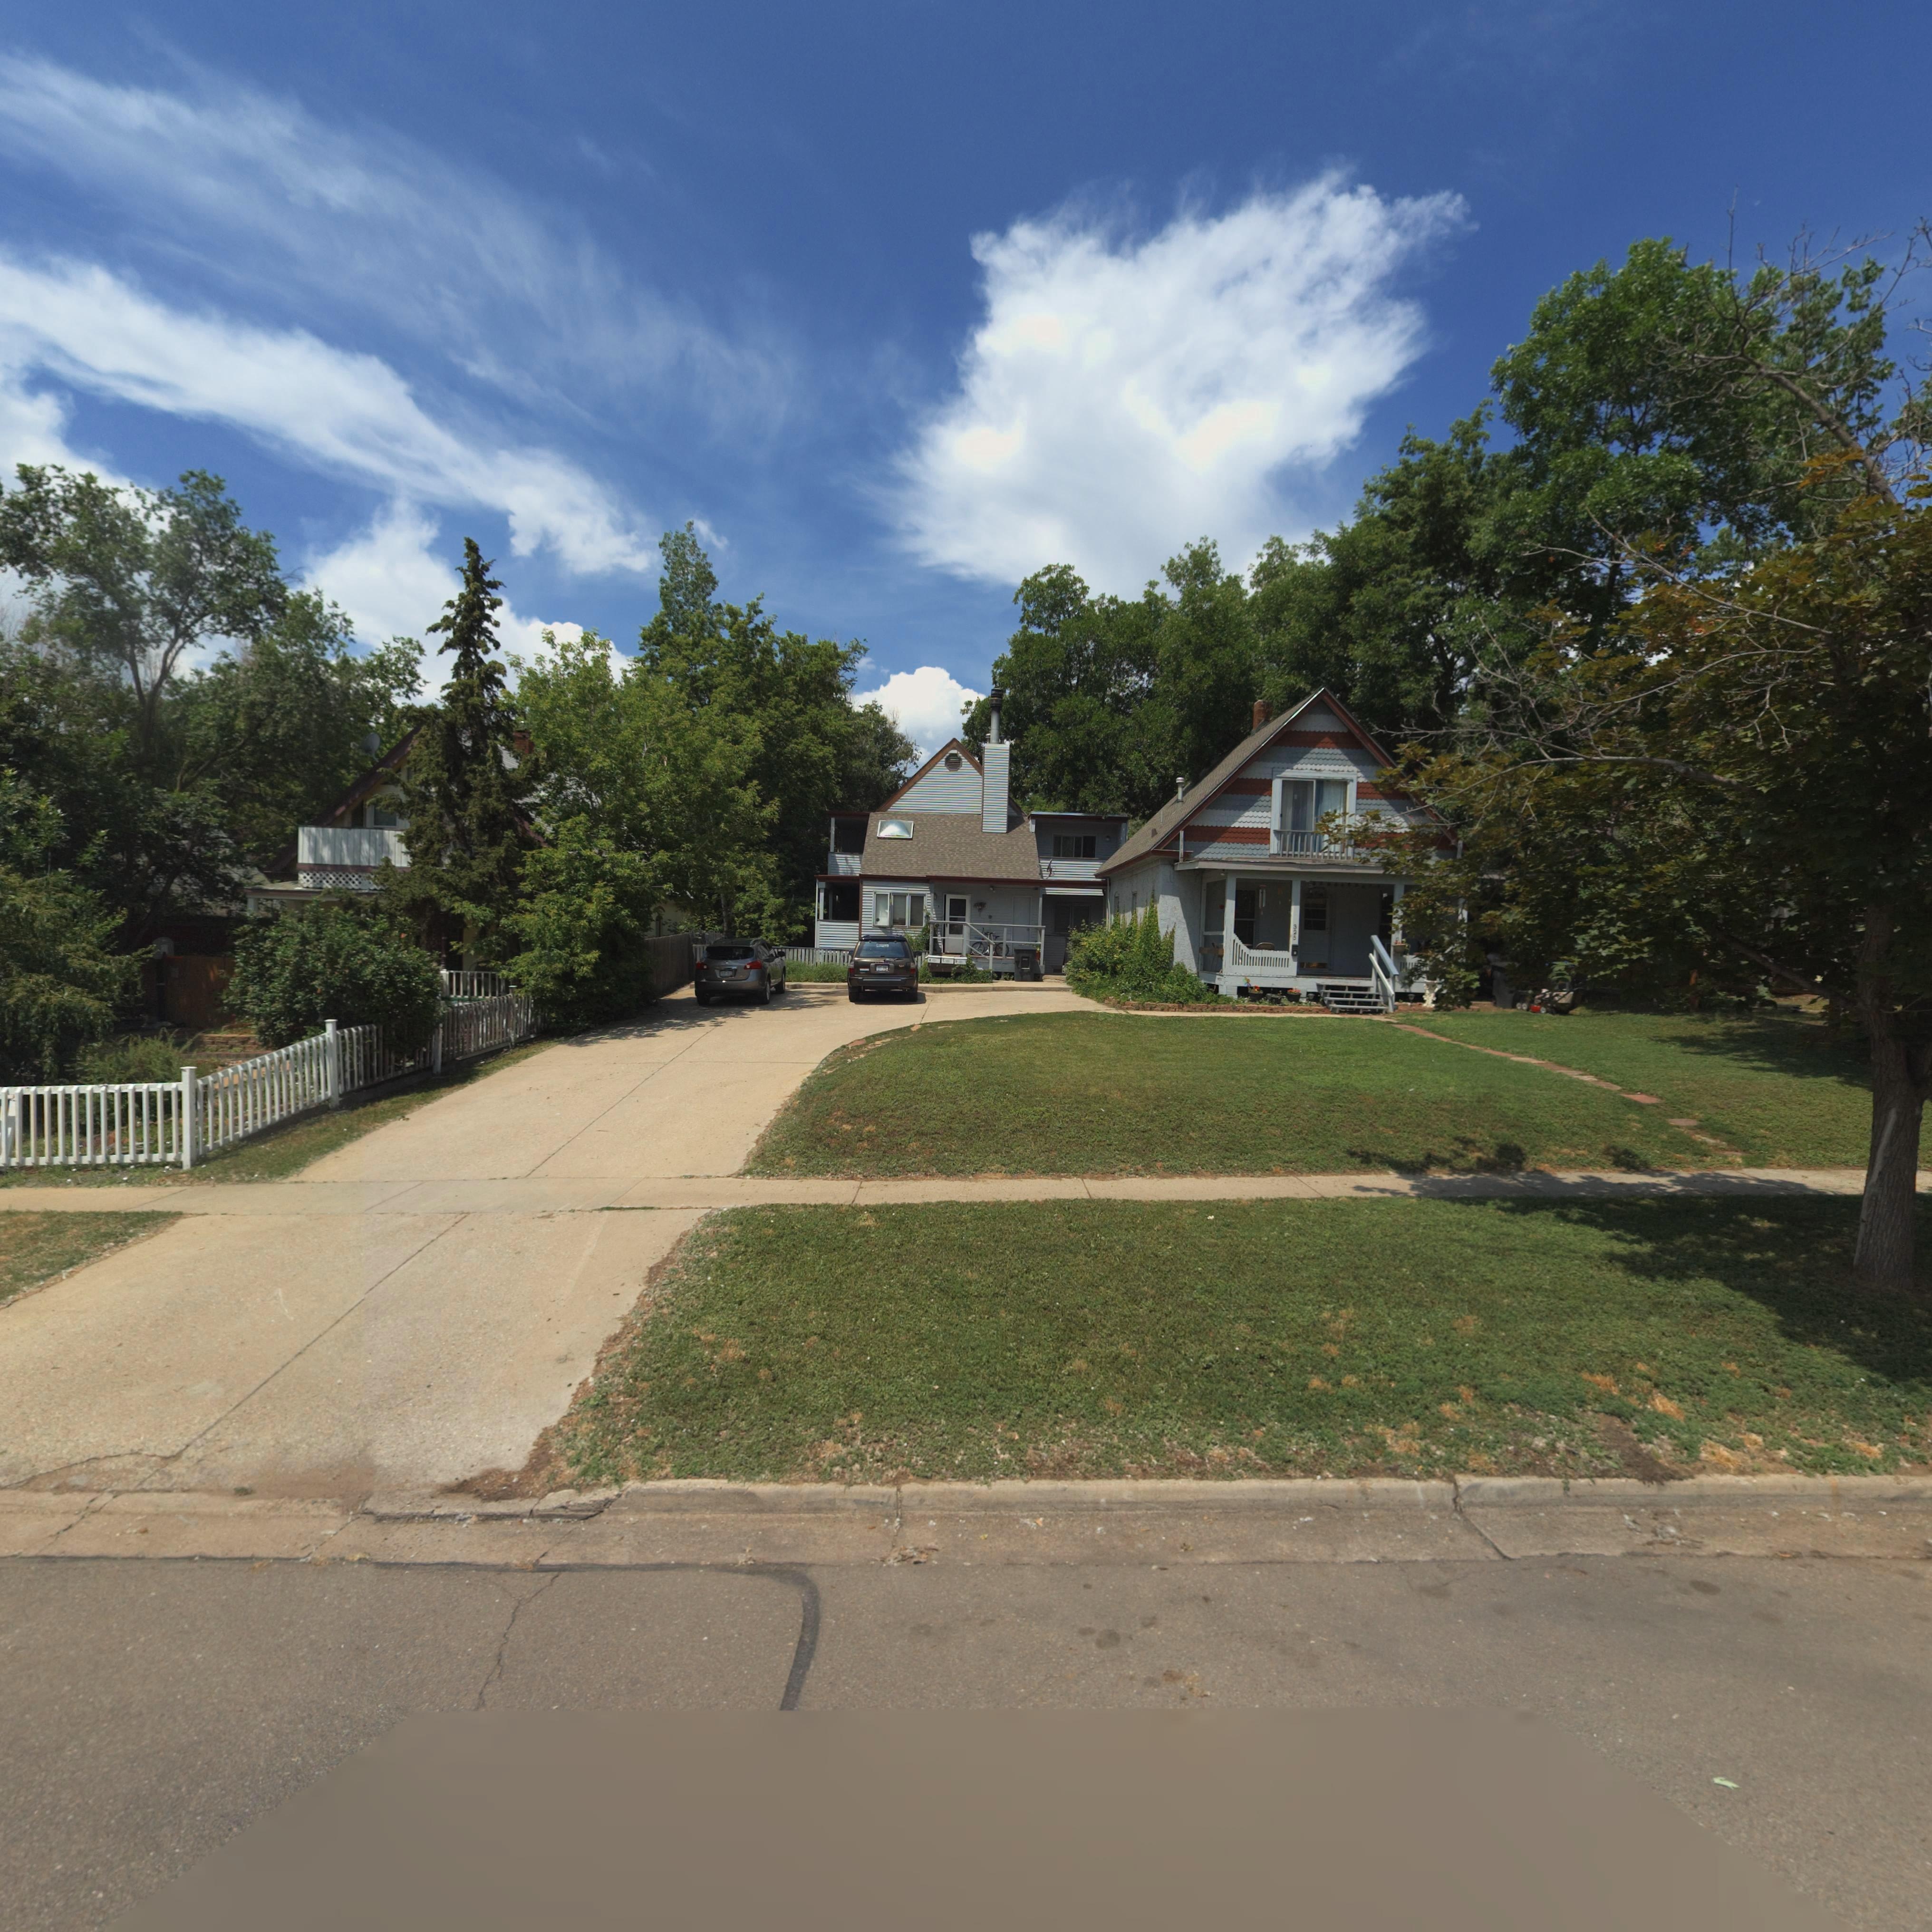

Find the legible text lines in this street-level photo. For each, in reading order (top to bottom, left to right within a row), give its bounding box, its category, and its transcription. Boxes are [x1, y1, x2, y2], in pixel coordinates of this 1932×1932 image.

[1293, 924, 1296, 940] StreetNumber: 325